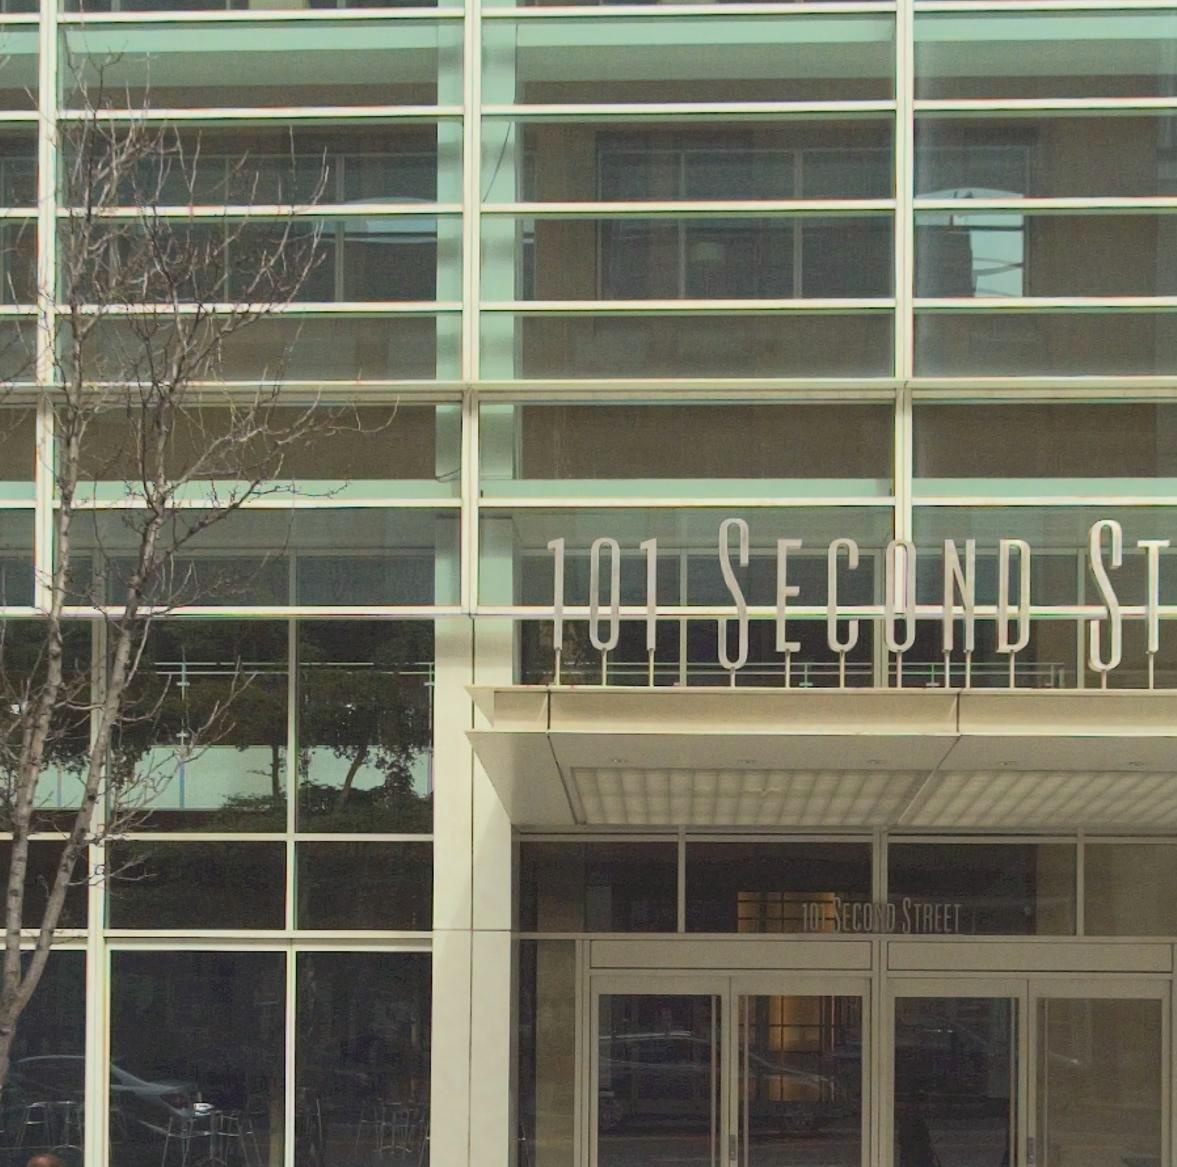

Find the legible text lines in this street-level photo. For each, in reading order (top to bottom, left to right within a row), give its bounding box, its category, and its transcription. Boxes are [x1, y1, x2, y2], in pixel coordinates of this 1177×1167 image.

[544, 535, 663, 654] StreetNumber: 101
[713, 509, 1175, 676] StreetName: SEC*ND ST
[798, 899, 828, 933] StreetNumber: 101
[829, 892, 967, 937] StreetName: SECO*D STREET